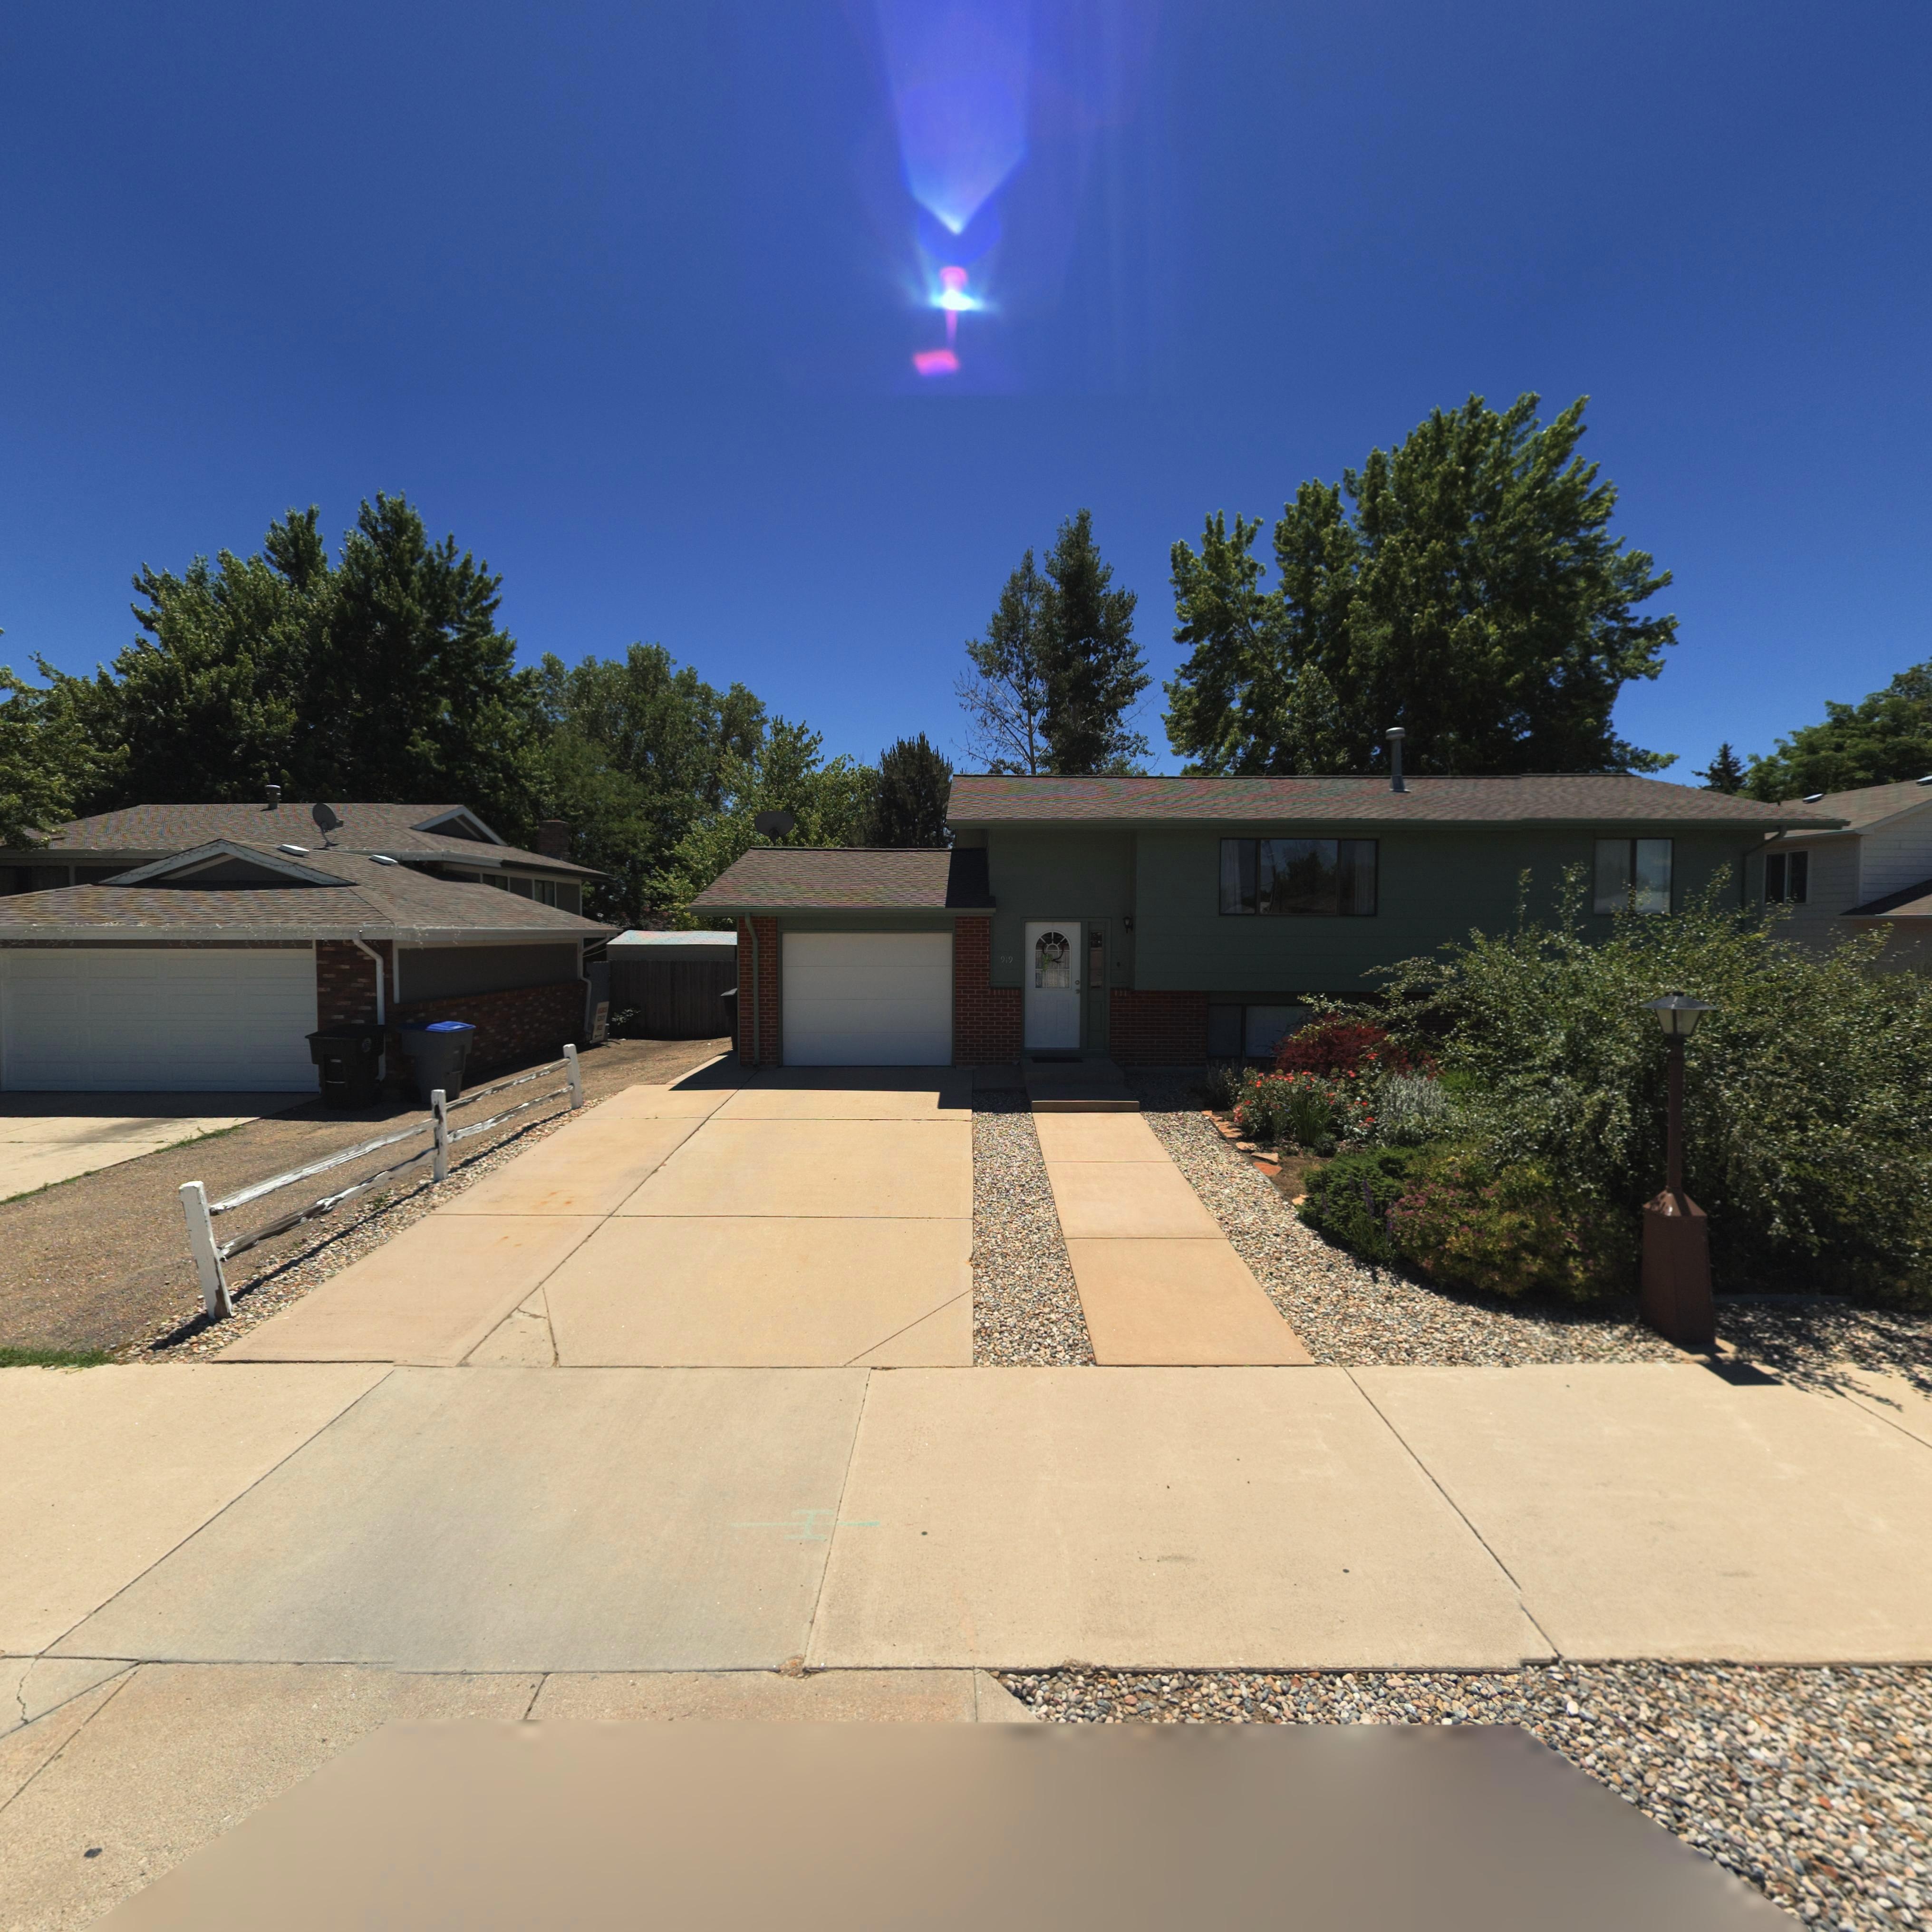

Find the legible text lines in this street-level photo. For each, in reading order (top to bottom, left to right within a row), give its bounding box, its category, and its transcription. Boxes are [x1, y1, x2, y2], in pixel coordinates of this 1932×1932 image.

[1000, 956, 1013, 964] StreetNumber: 919